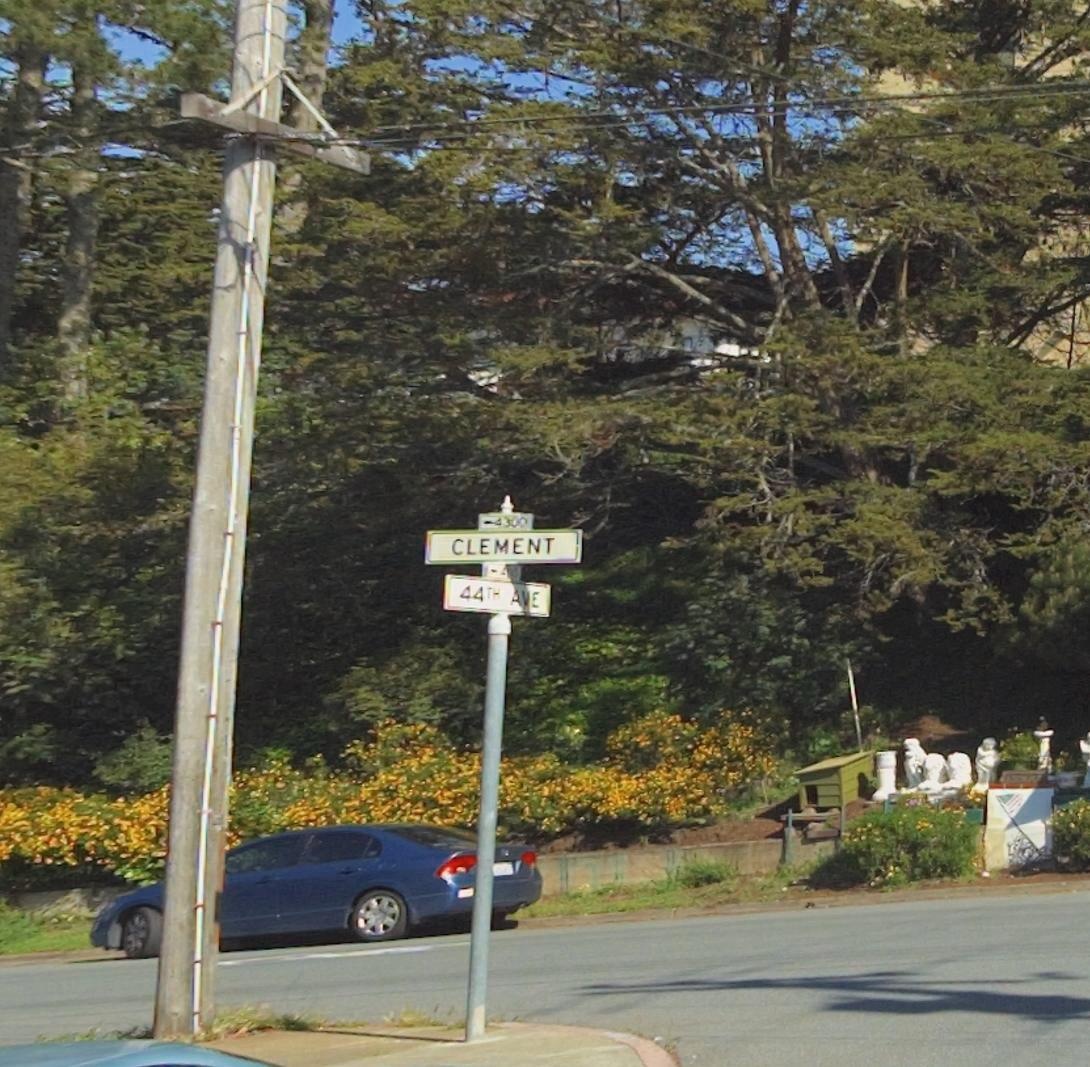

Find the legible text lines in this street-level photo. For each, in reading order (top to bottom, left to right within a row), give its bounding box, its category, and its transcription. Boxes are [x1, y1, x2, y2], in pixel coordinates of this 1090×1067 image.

[480, 511, 529, 530] StreetNumberRange: <-4300
[448, 534, 556, 559] StreetName: CLEMENT
[456, 580, 541, 611] StreetName: 44TH AVE